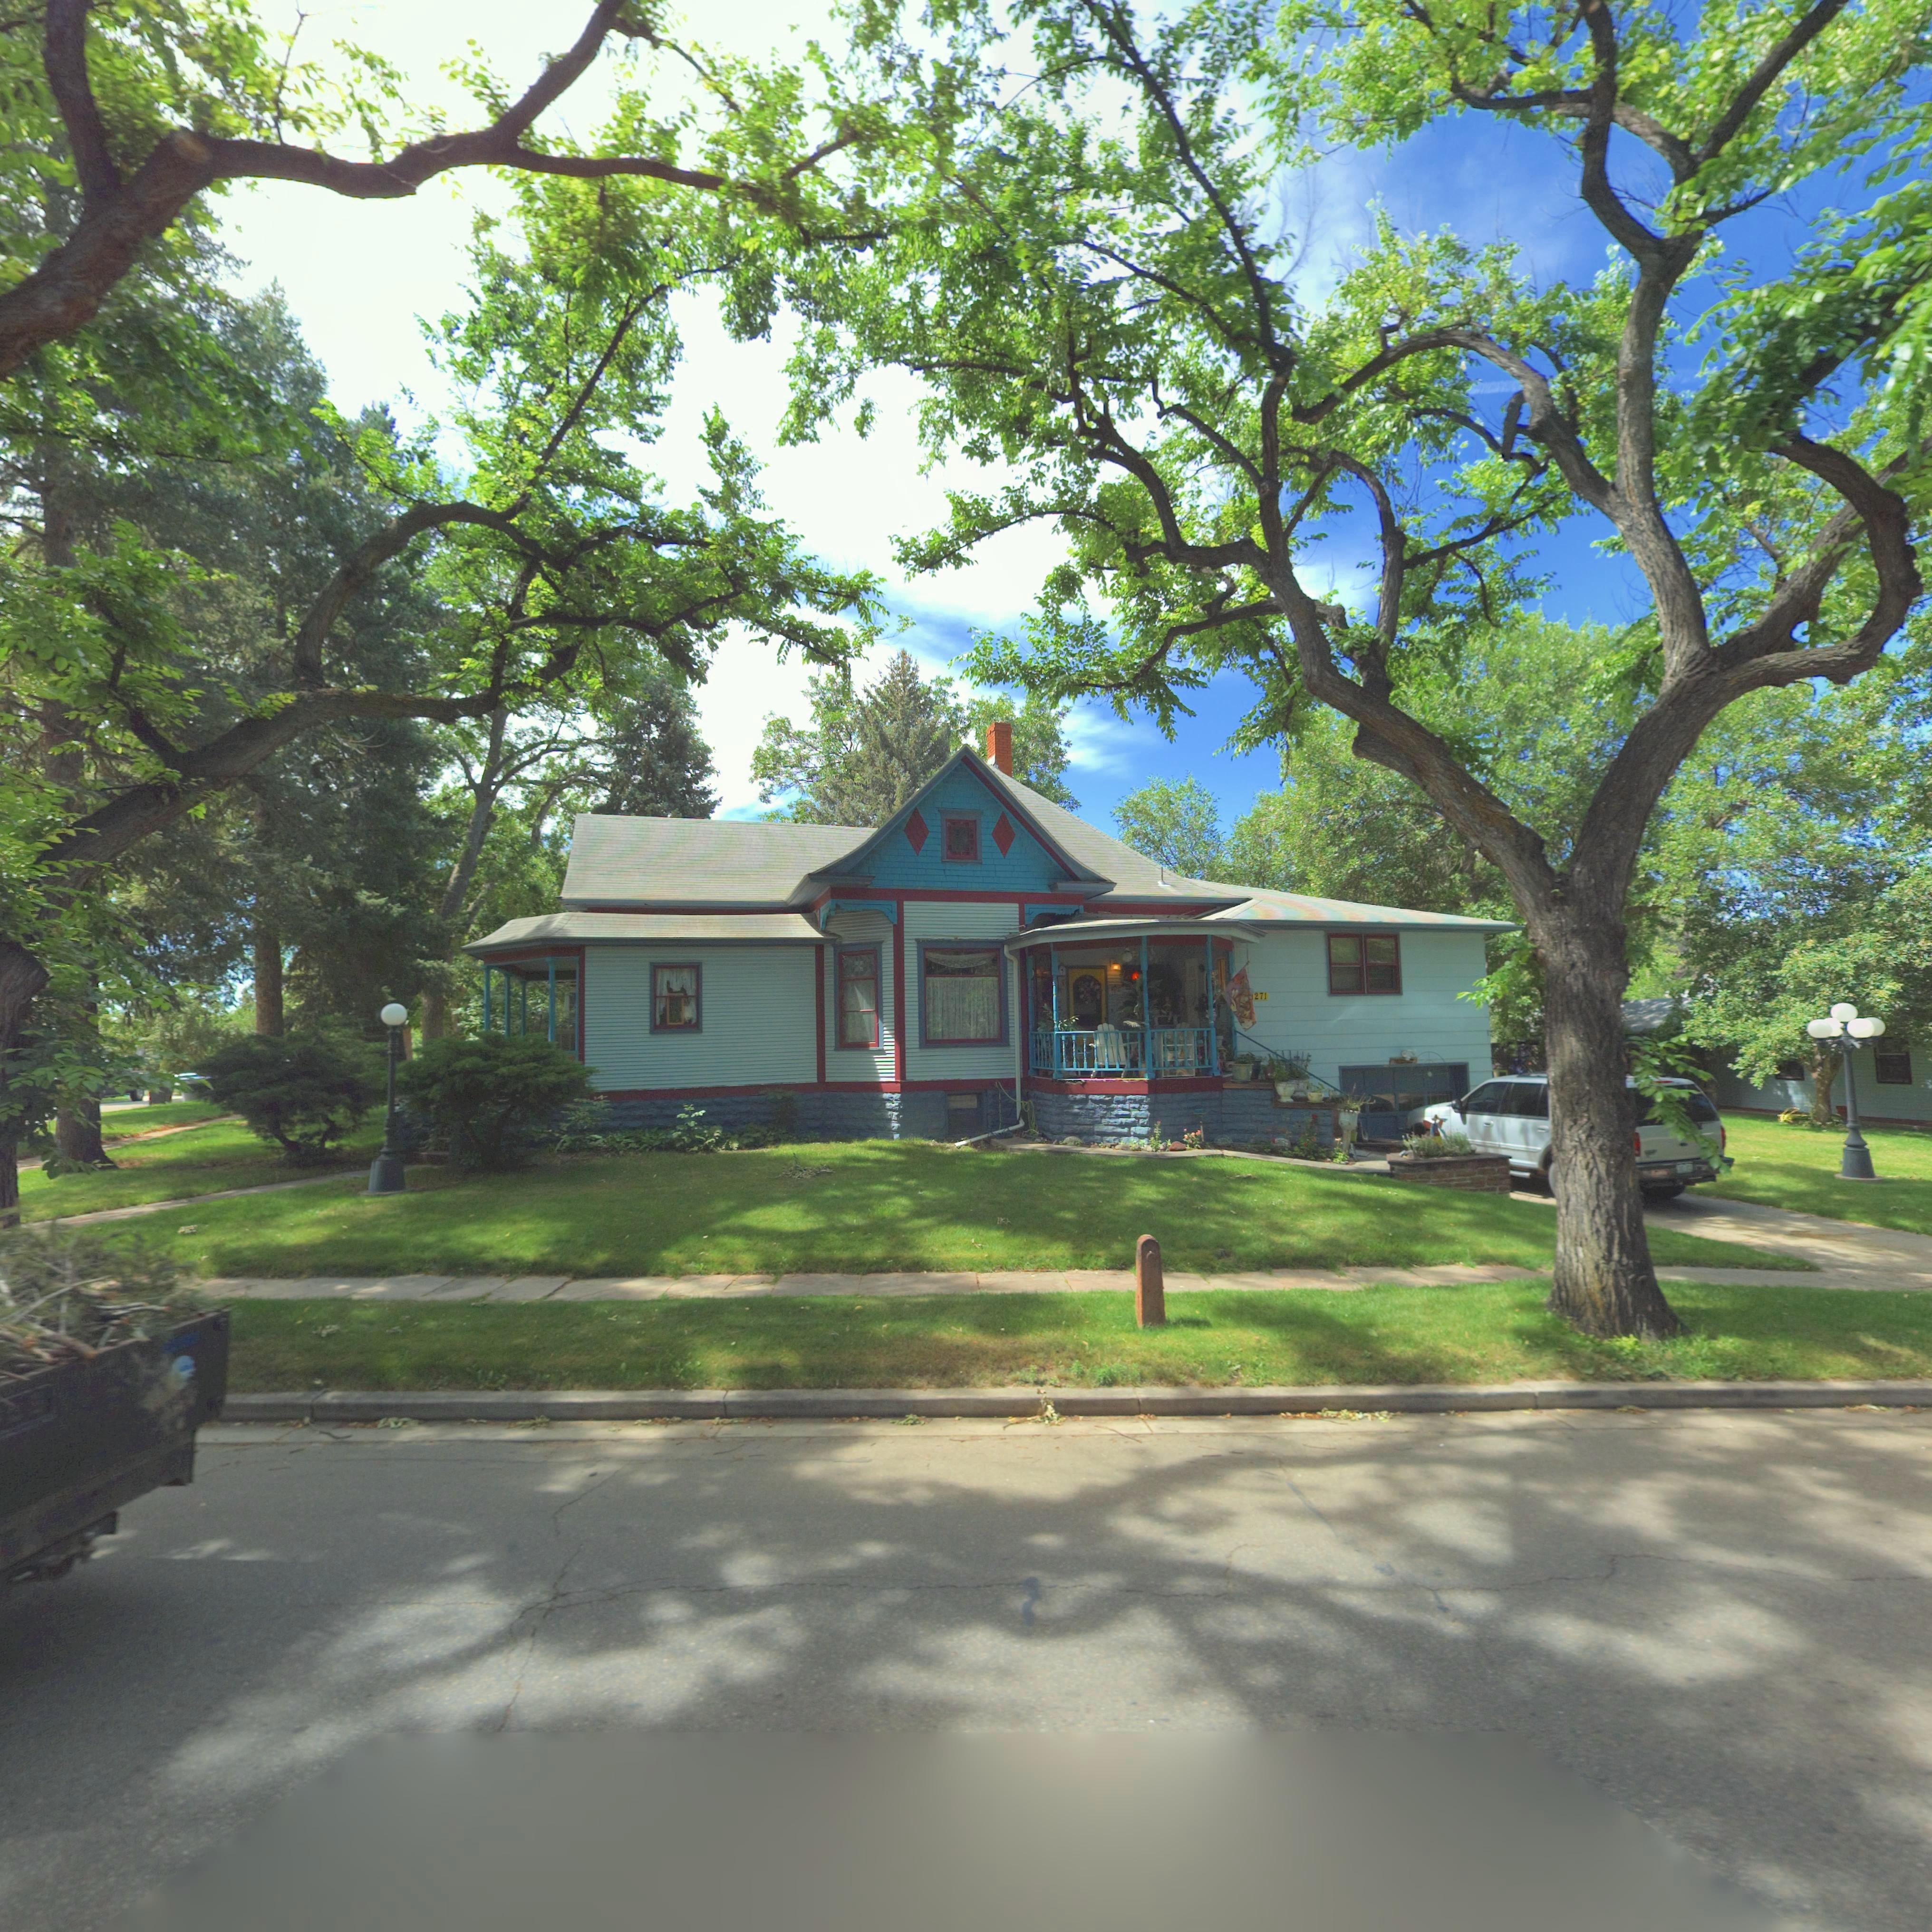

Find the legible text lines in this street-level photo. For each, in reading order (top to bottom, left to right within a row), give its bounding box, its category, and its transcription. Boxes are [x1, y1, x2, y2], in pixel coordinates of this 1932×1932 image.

[1251, 992, 1266, 1000] StreetNumber: *271